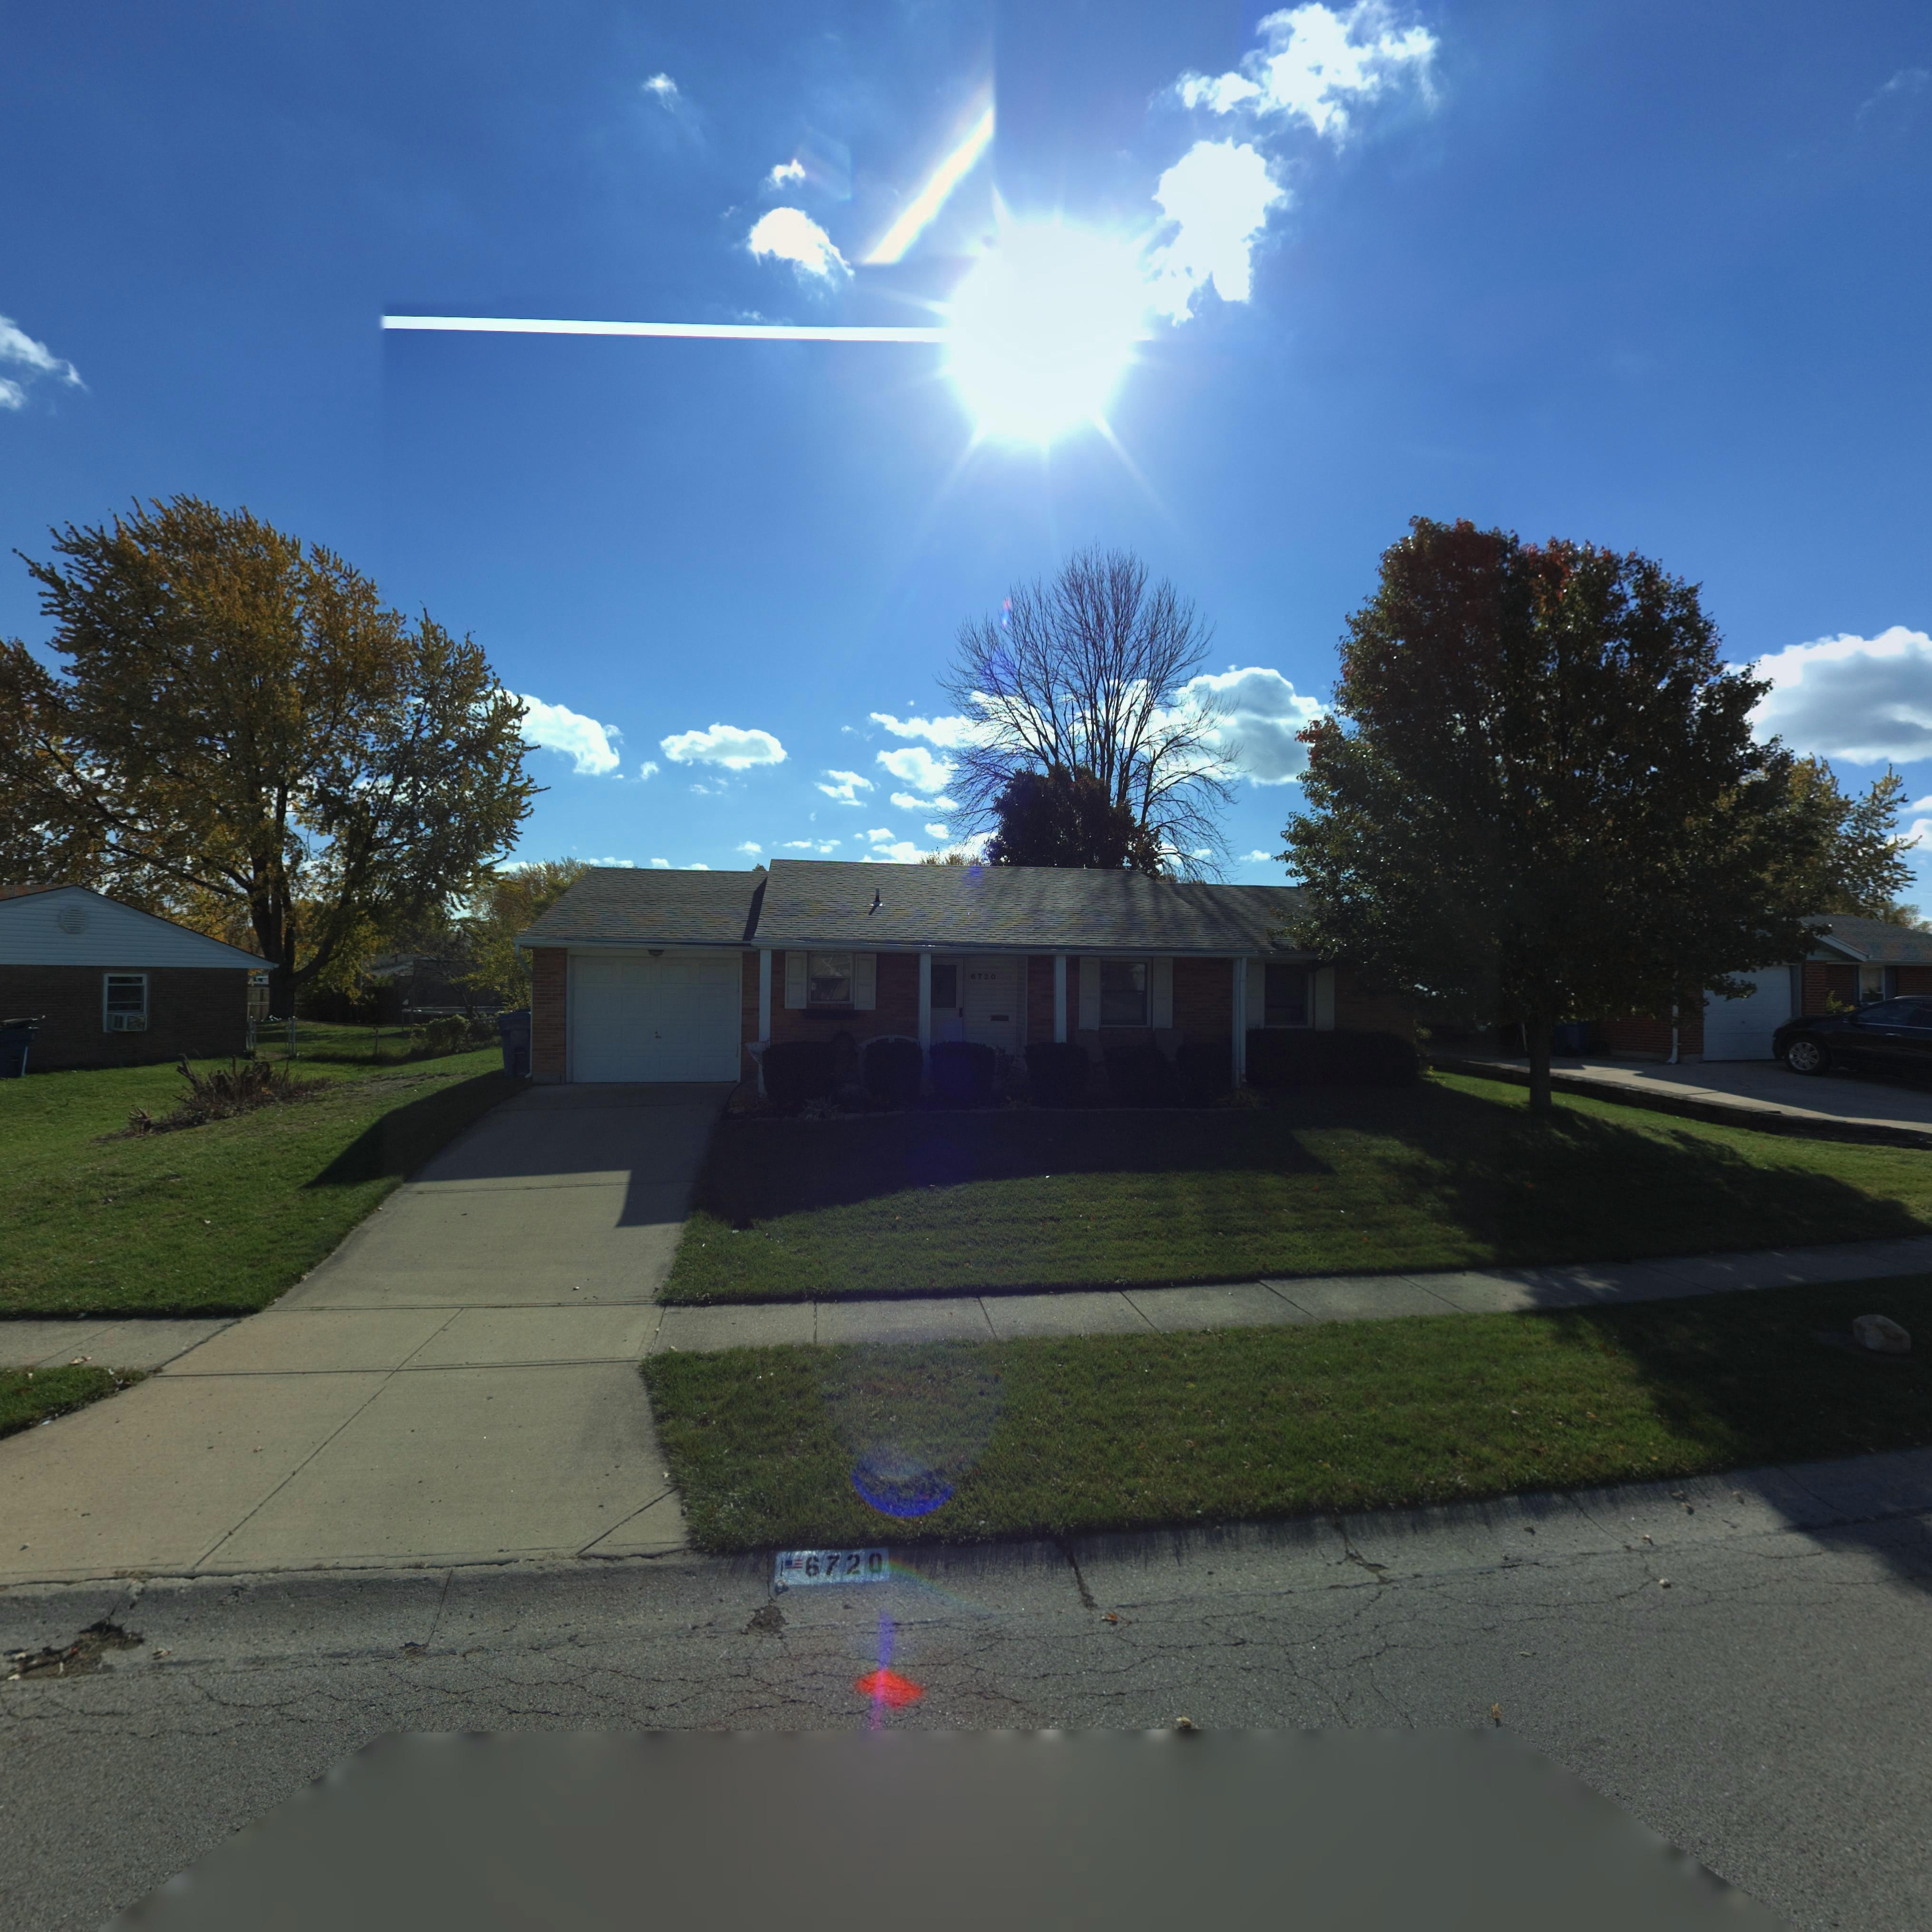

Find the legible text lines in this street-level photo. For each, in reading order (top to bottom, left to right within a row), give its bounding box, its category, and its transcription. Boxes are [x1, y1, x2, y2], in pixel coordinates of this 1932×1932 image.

[969, 972, 996, 981] StreetNumber: 6720
[803, 1550, 886, 1580] StreetNumber: 6720